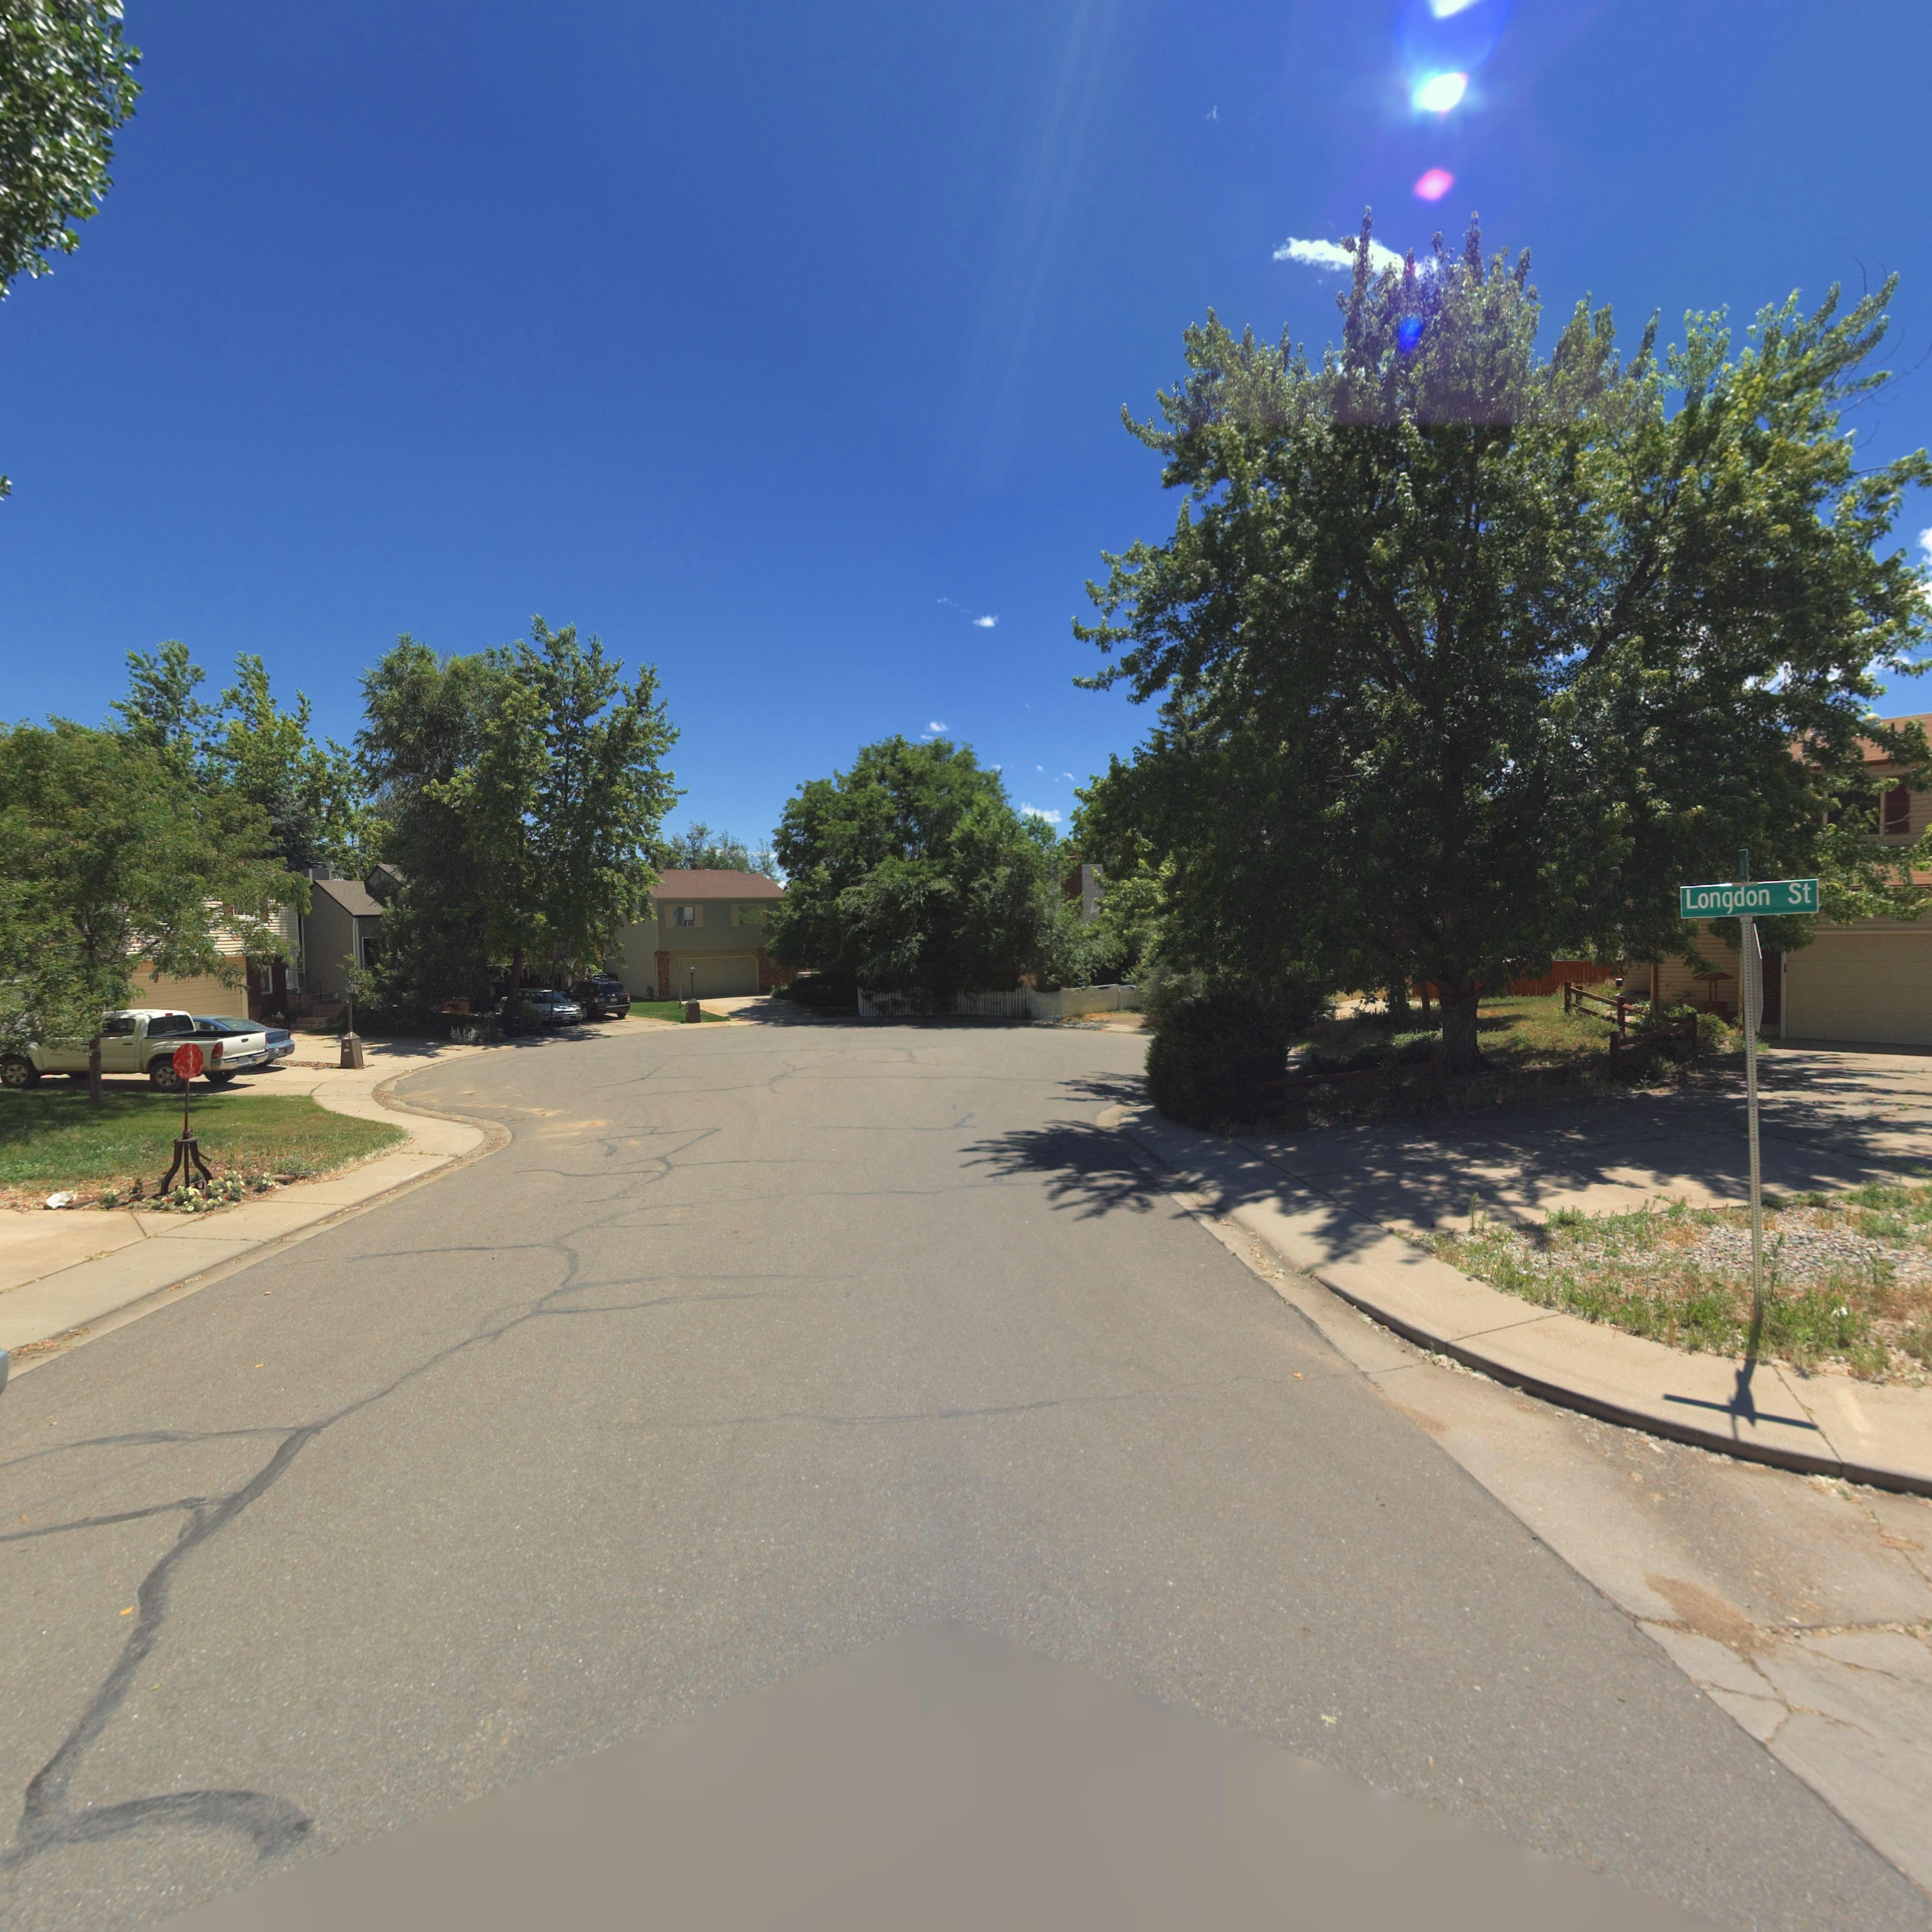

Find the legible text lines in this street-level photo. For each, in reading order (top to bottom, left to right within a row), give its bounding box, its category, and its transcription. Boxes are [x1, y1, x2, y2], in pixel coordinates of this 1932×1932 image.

[1686, 882, 1811, 914] StreetName: Longdon St